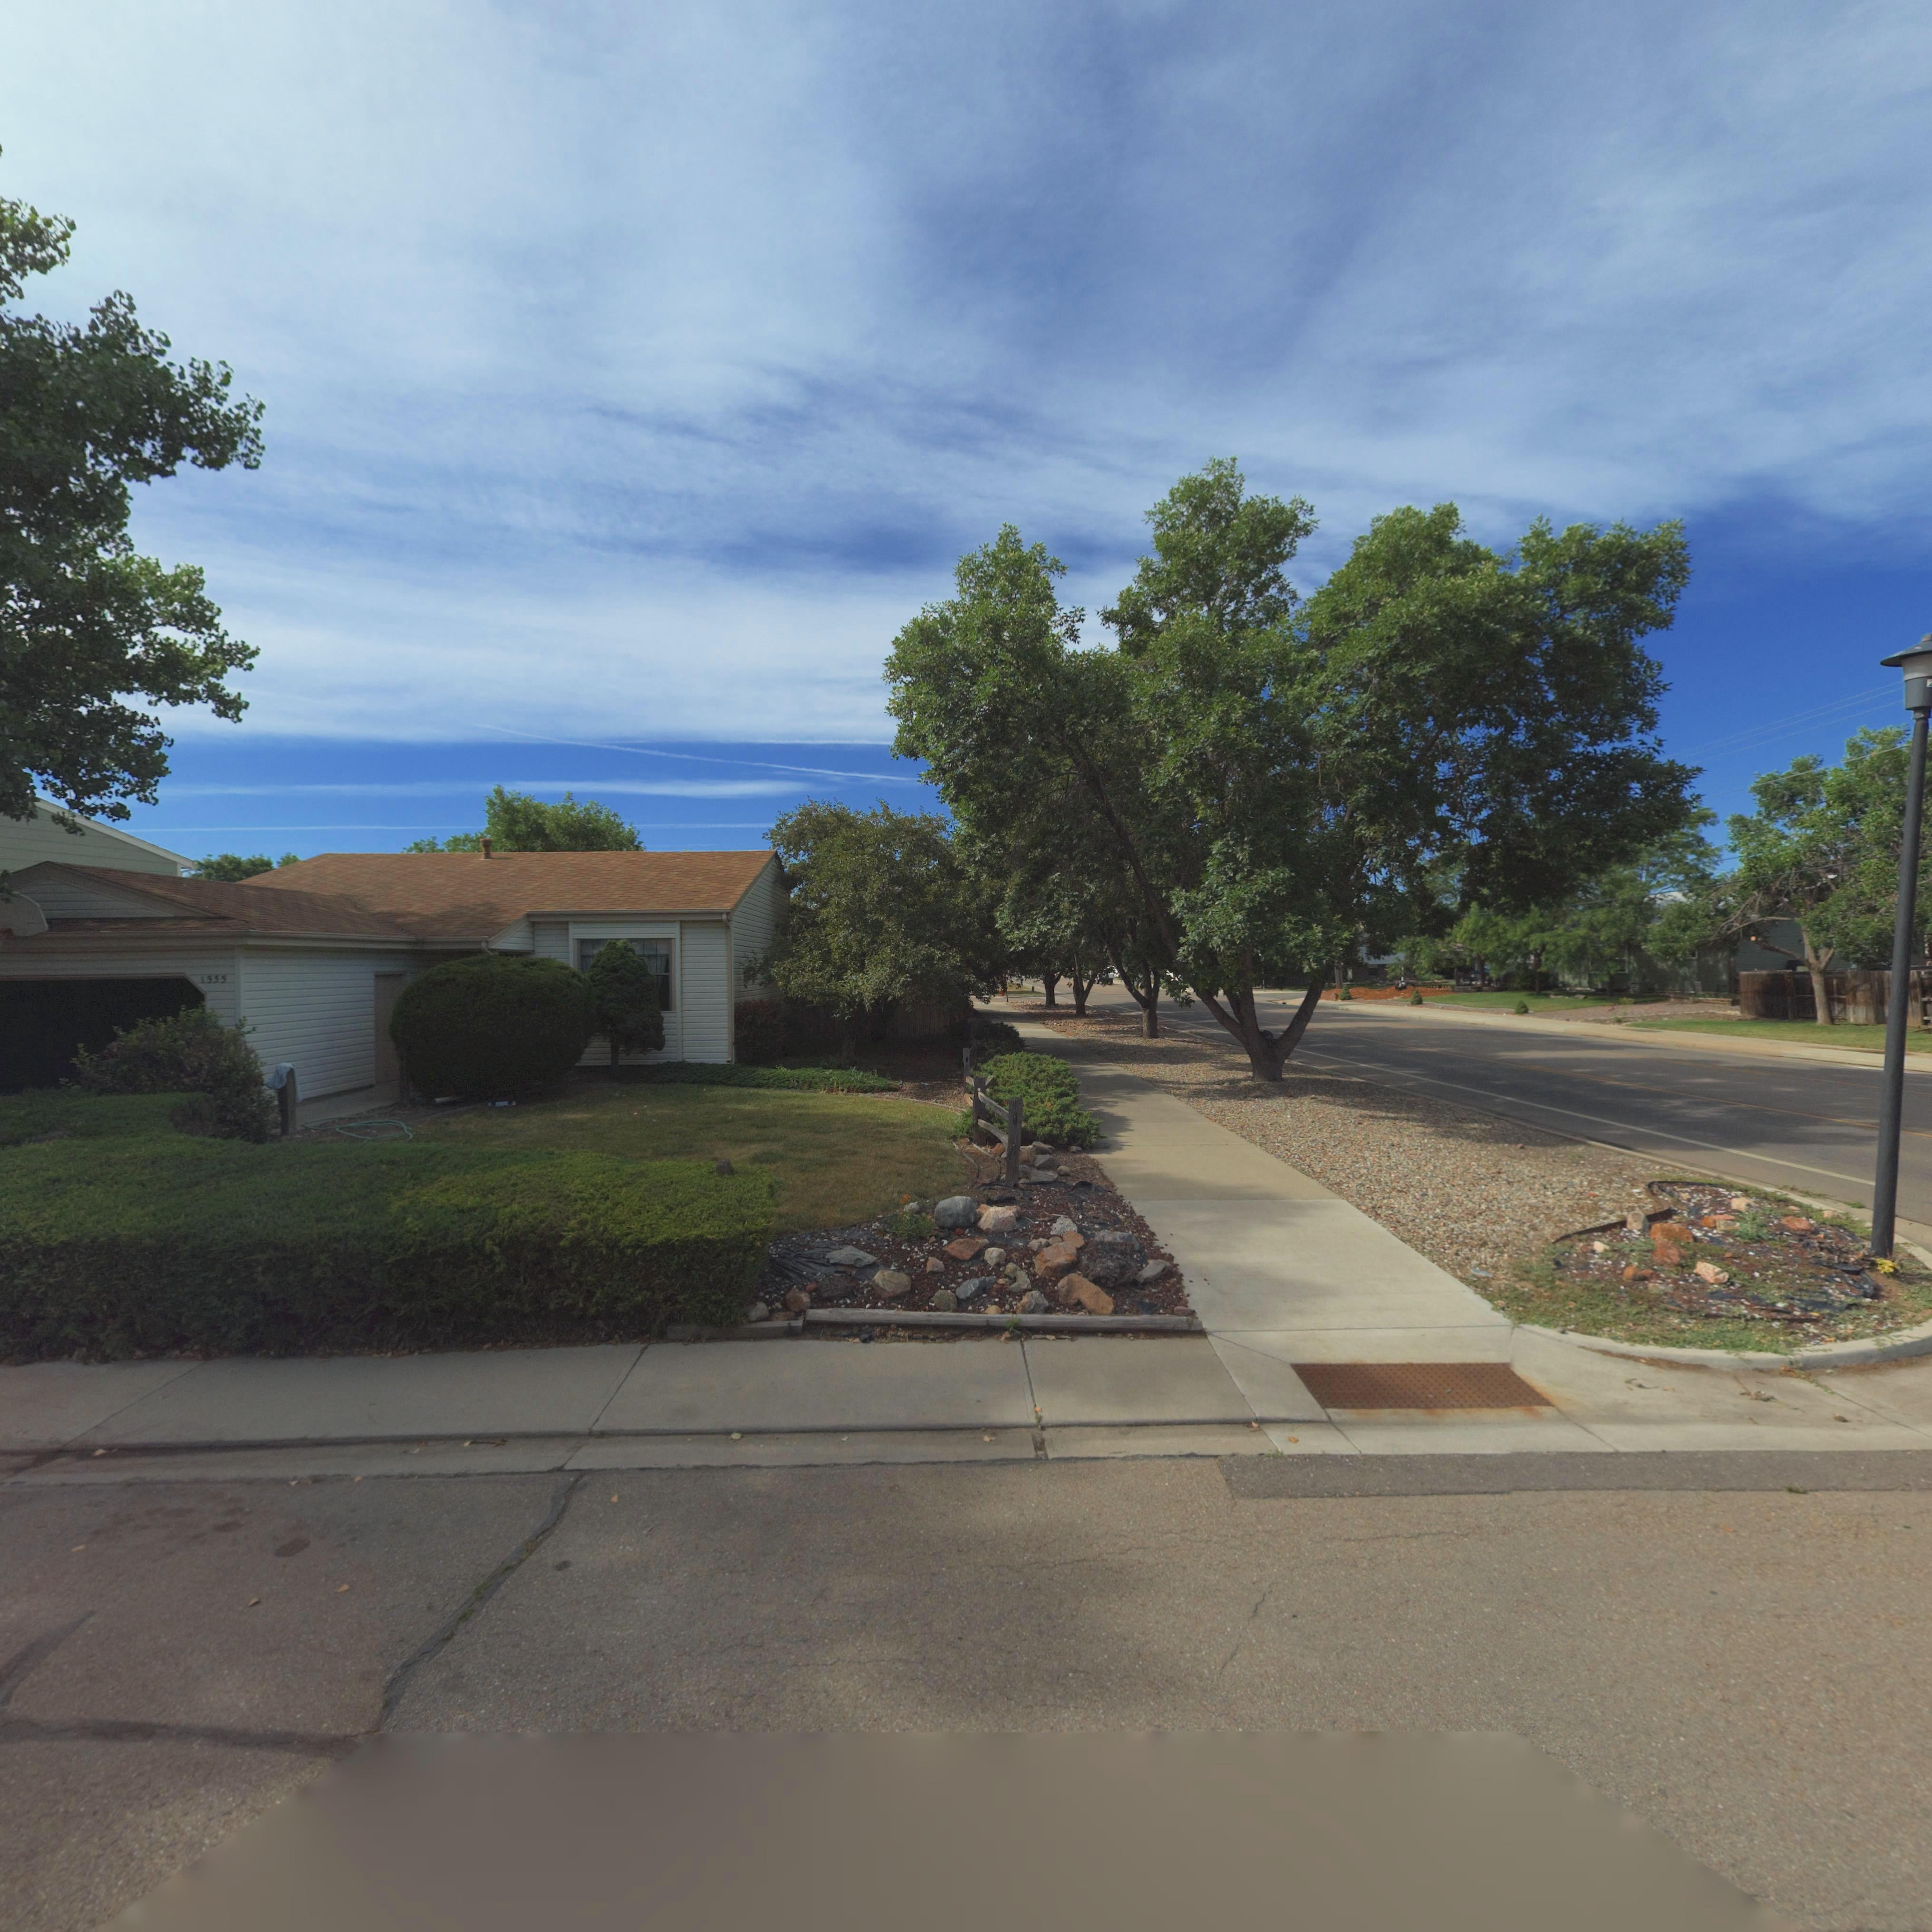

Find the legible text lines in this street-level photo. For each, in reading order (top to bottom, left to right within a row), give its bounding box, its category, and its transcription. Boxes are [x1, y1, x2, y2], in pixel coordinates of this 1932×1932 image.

[200, 974, 227, 984] StreetNumber: 1555